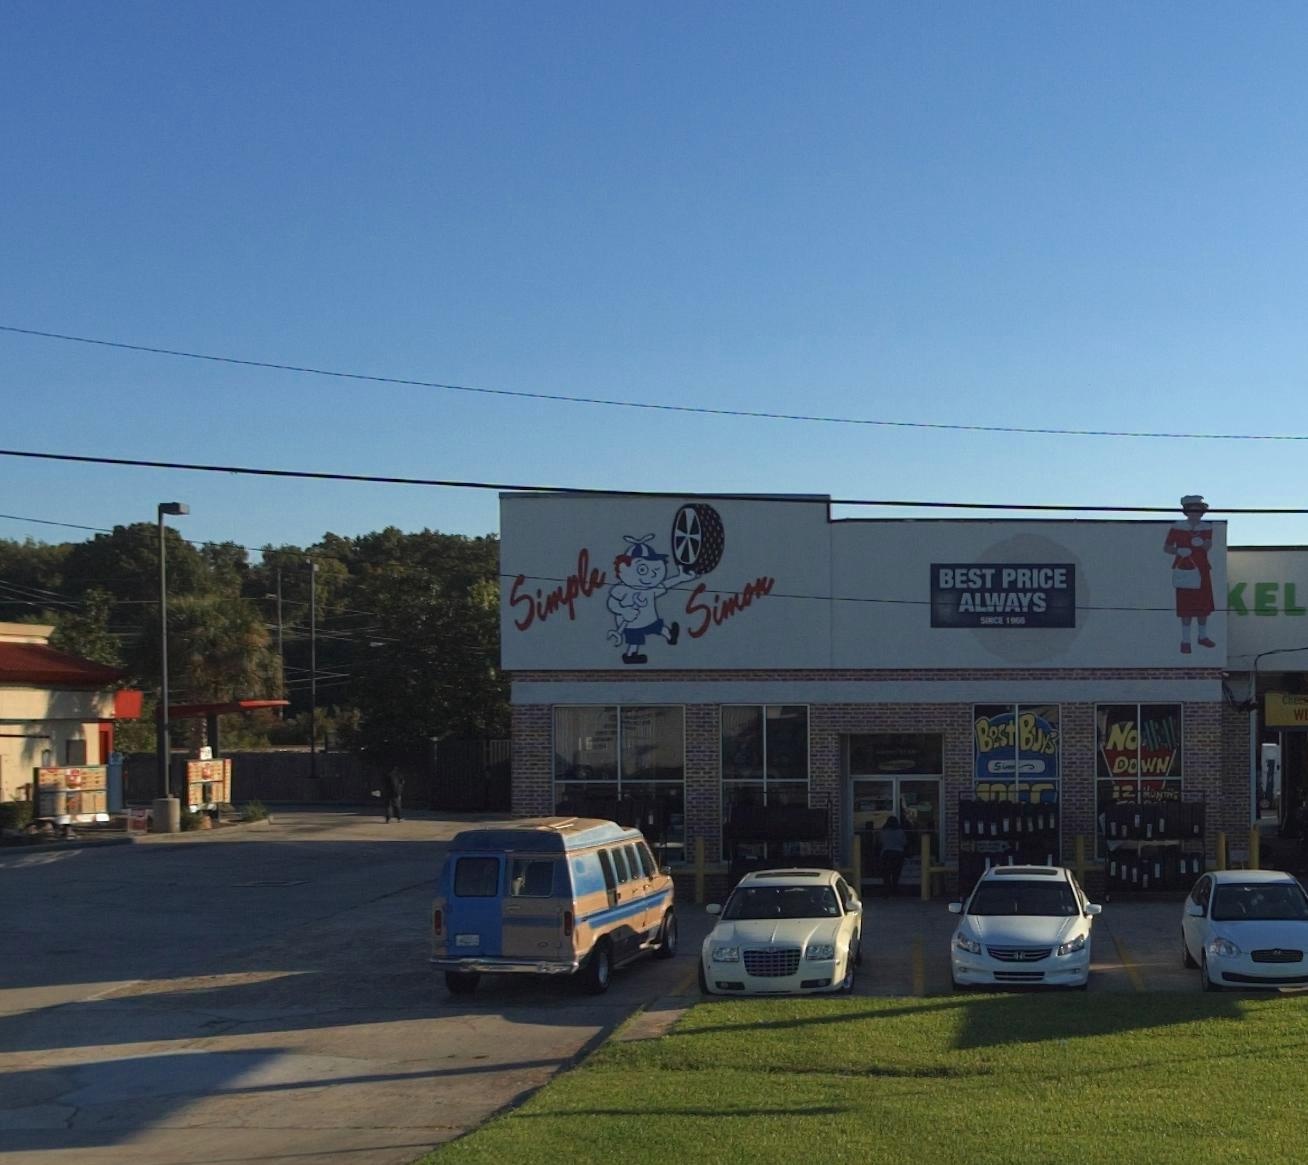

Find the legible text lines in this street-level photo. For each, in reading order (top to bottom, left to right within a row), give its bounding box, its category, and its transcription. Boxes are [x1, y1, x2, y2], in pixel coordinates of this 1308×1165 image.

[501, 543, 610, 638] BusinessName: Simple
[681, 571, 779, 641] BusinessName: Simon
[955, 591, 1050, 615] None: ALWAYS
[937, 565, 1070, 592] None: BEST PICE
[1252, 580, 1307, 618] None: EL
[575, 733, 596, 754] StreetNumber: 16
[971, 711, 1060, 758] None: Best*Buys
[1102, 718, 1136, 753] None: N
[991, 760, 1008, 773] BusinessName: Si
[1109, 753, 1172, 776] None: D*WN
[1154, 788, 1165, 801] None: N